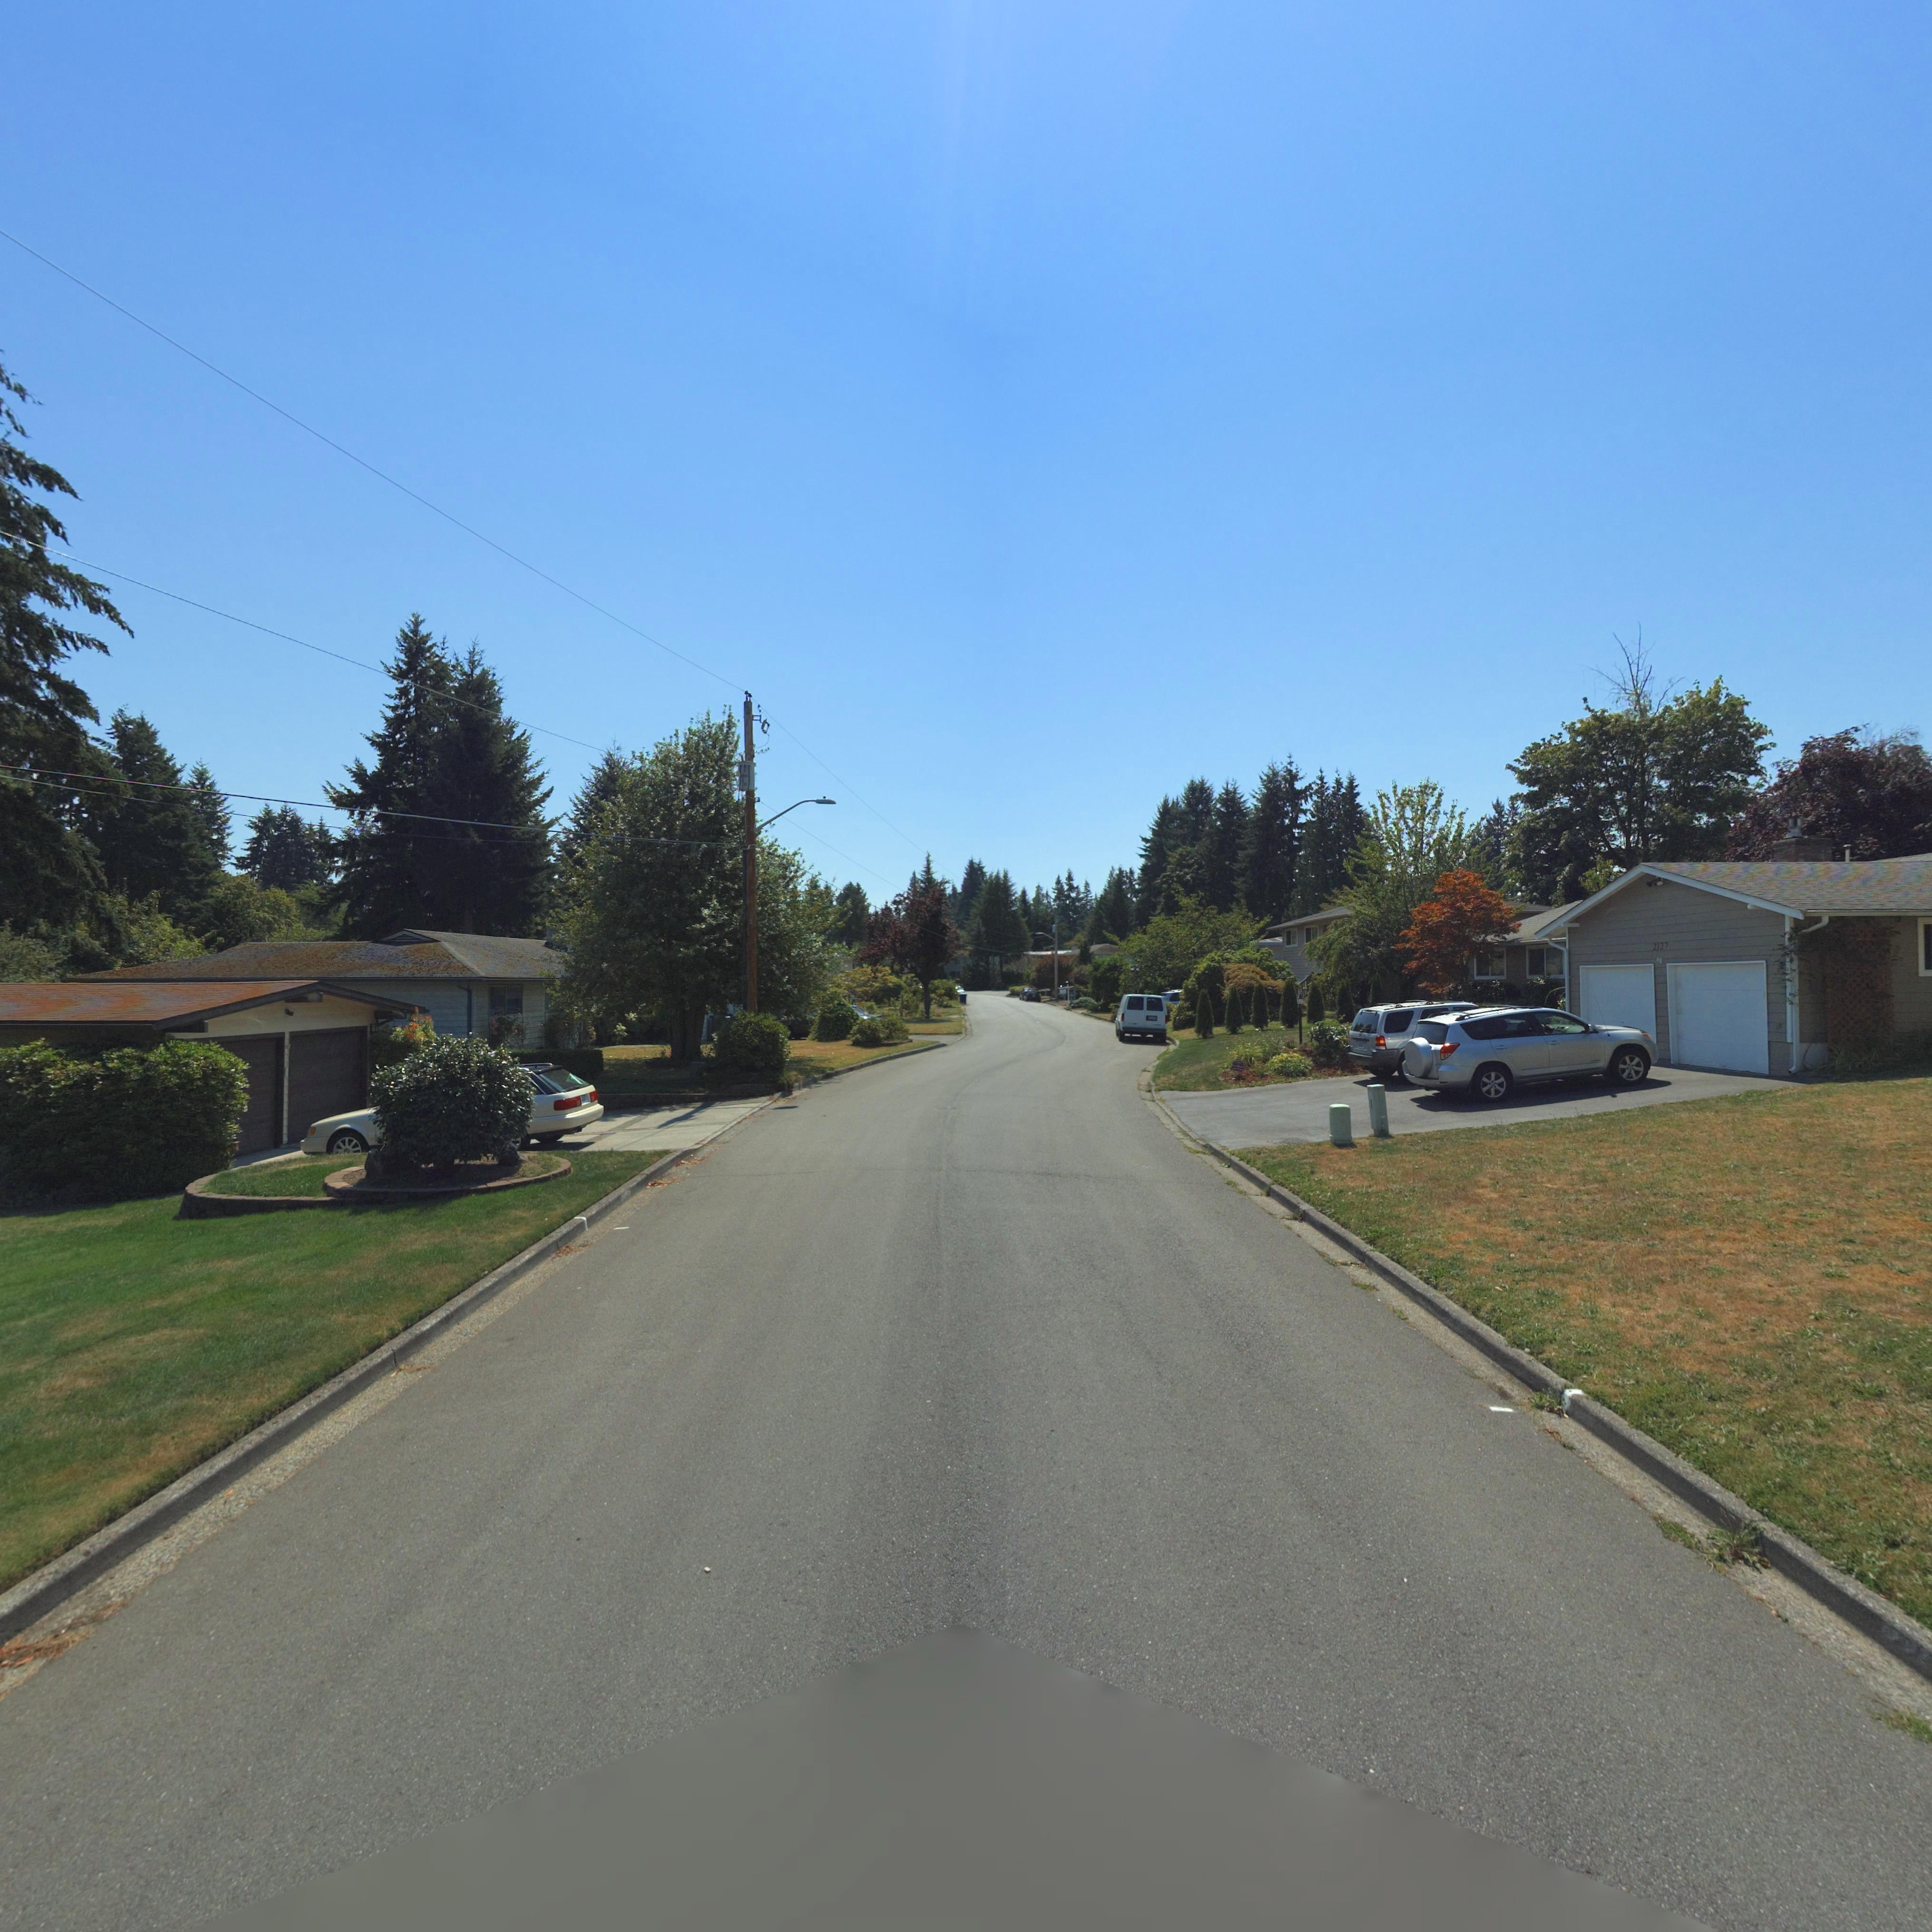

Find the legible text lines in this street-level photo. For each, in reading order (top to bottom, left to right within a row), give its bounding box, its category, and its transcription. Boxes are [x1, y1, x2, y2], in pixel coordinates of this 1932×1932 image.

[1651, 939, 1670, 951] StreetNumber: 2127